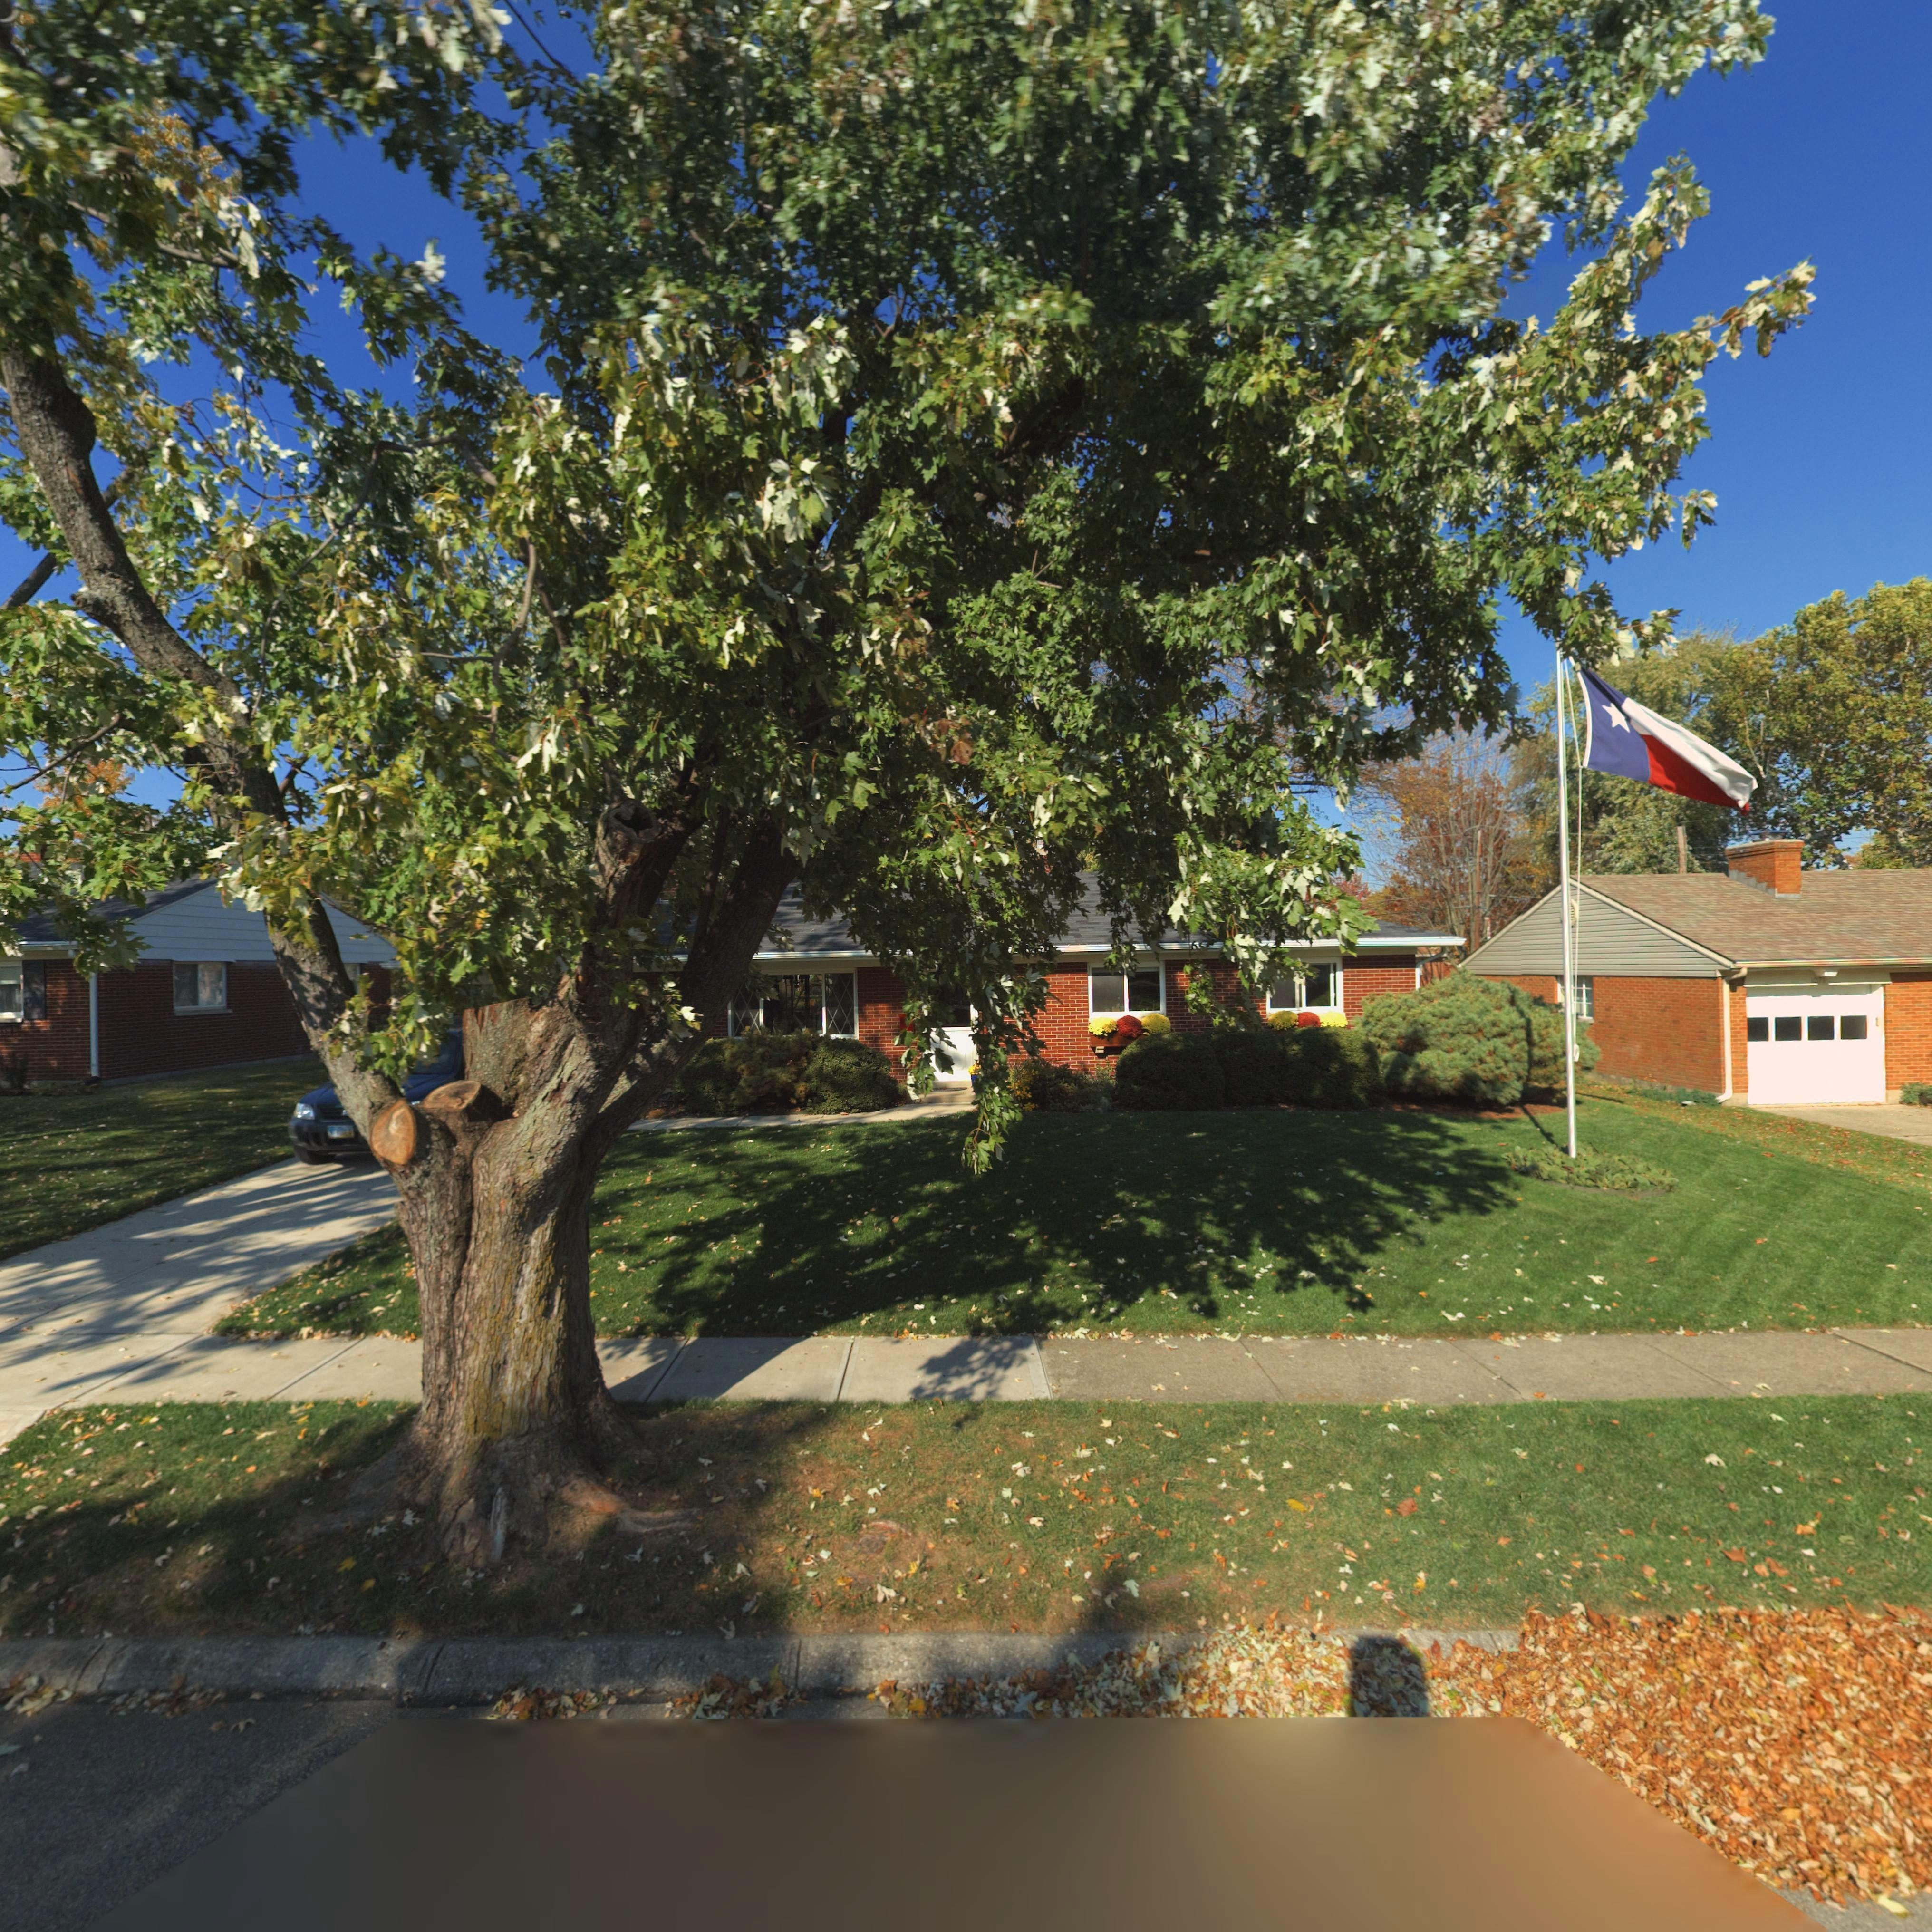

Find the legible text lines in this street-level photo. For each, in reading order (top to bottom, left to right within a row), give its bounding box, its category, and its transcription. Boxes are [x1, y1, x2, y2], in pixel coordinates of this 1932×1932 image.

[329, 1128, 351, 1135] None: N*RODEO